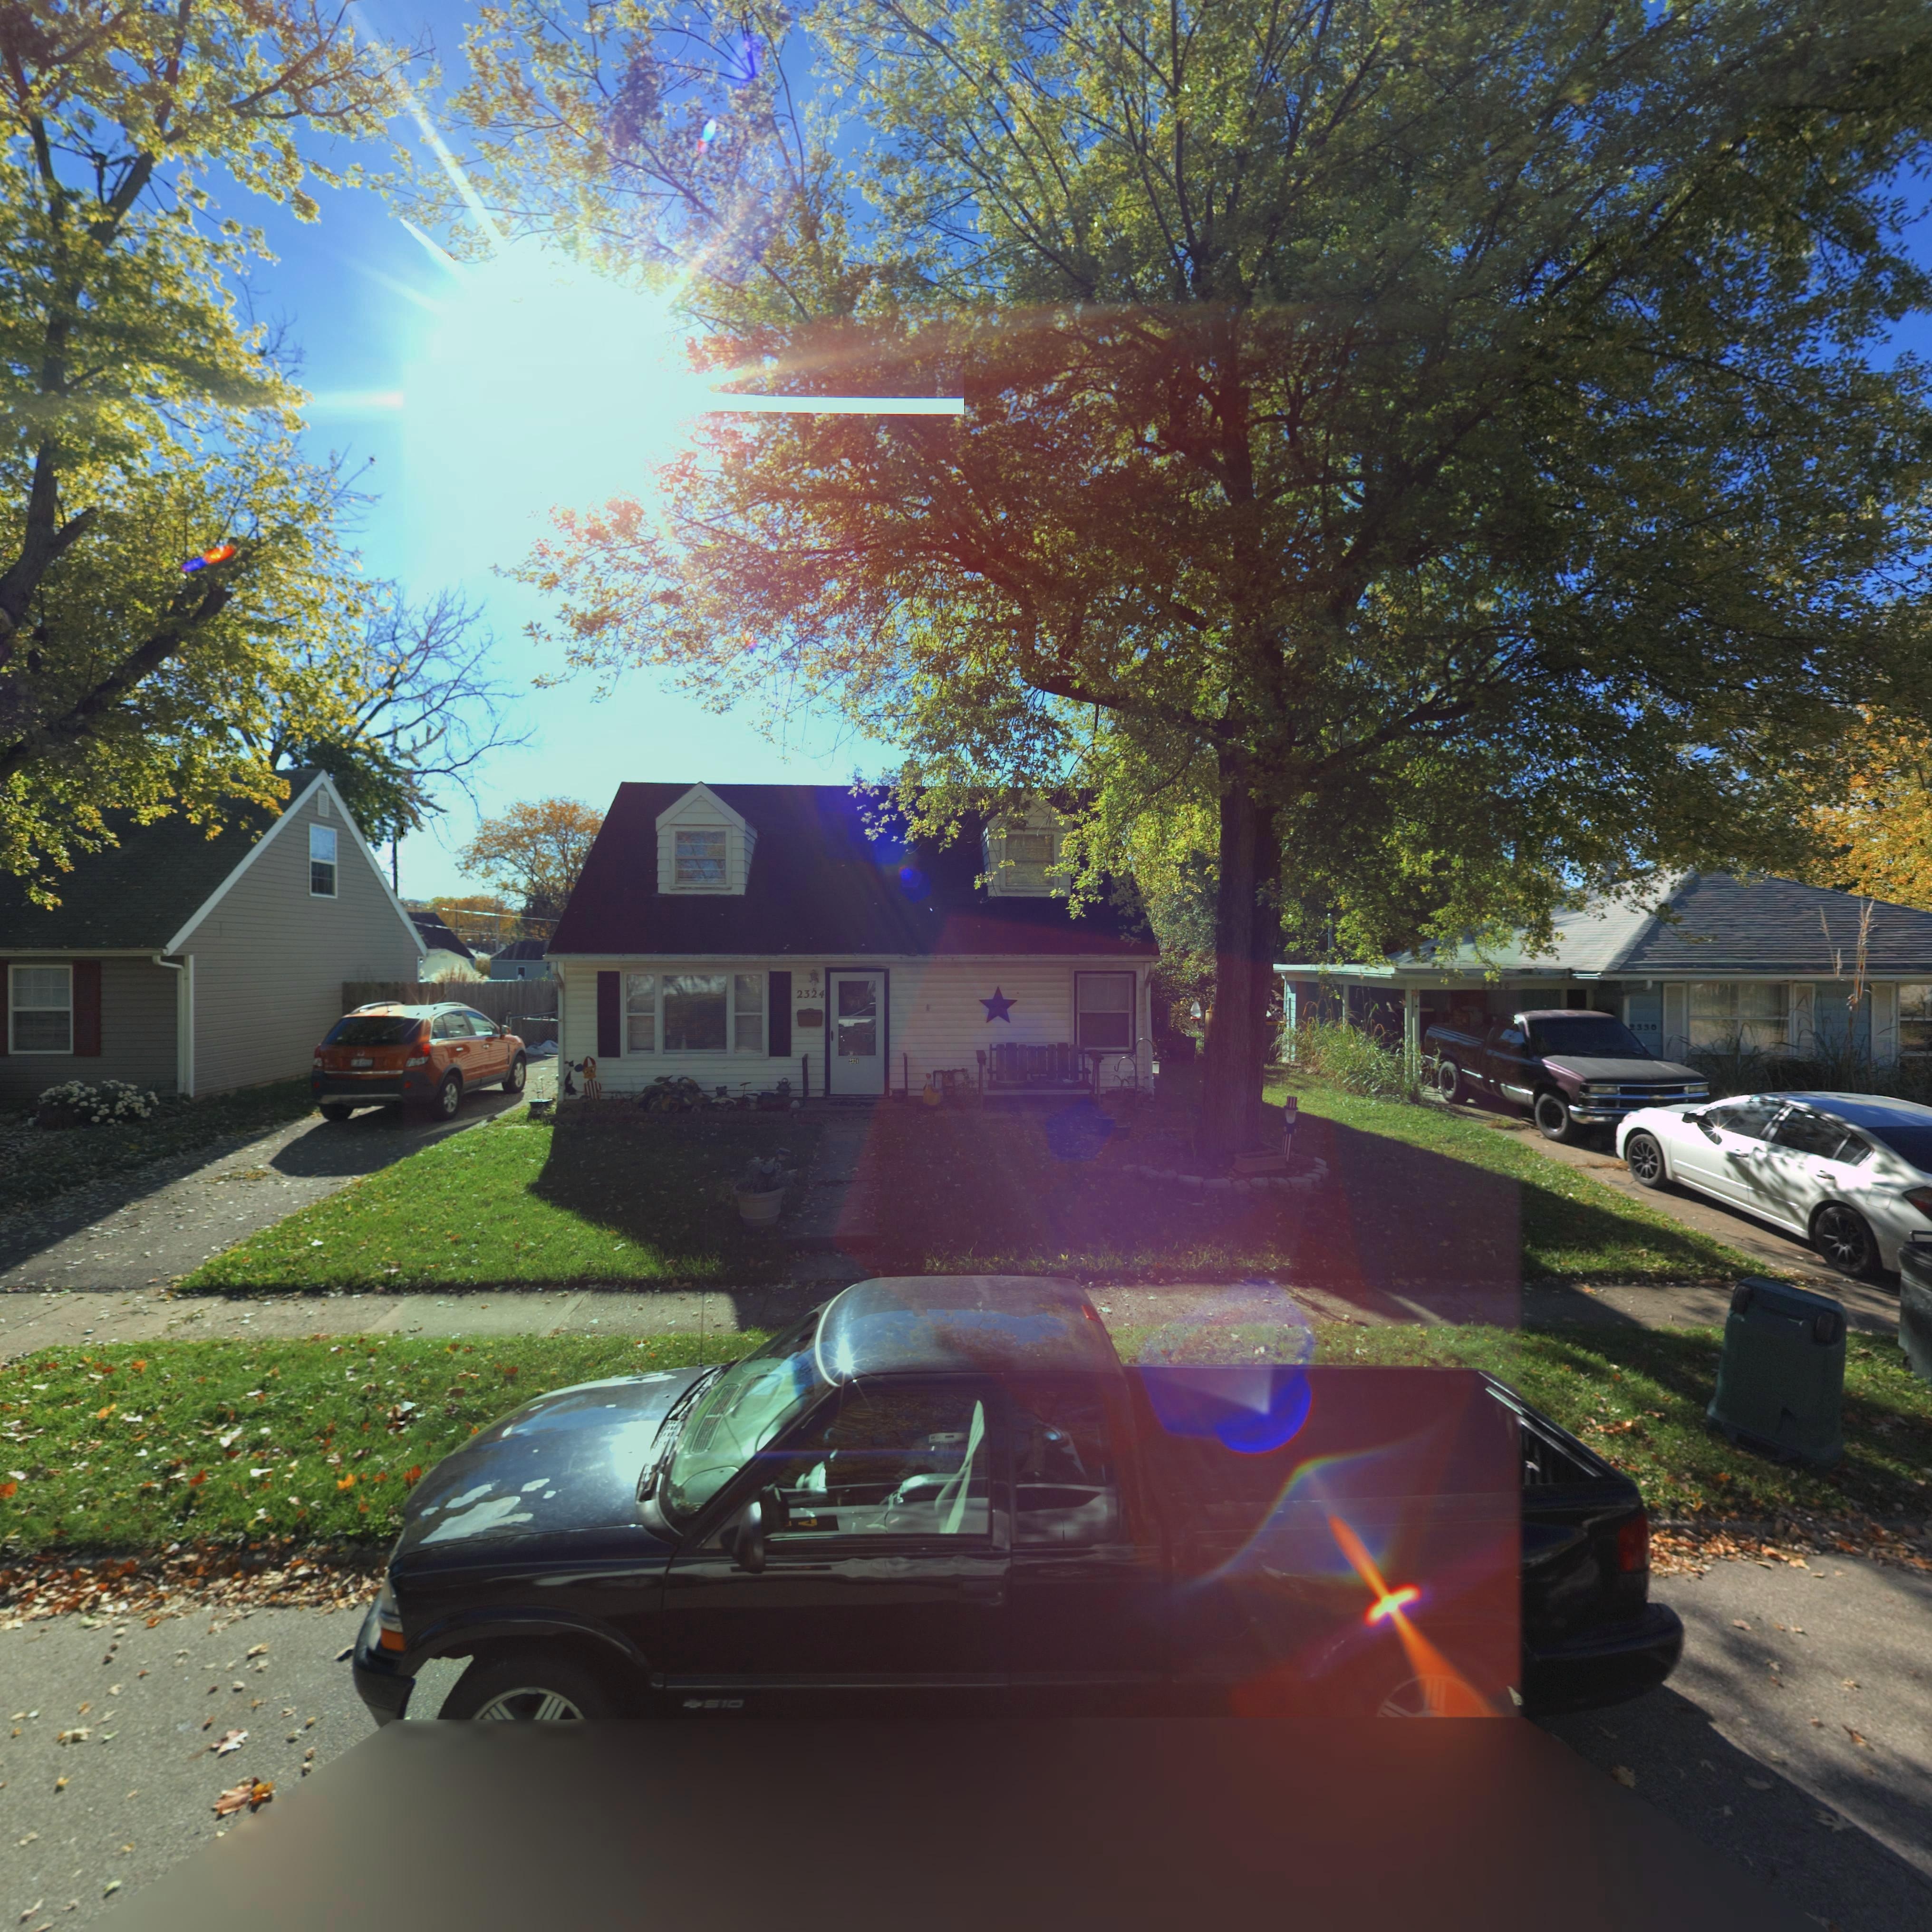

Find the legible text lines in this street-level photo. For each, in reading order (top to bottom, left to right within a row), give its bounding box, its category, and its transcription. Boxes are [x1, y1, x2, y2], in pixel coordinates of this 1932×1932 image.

[1481, 982, 1510, 990] StreetNumber: 2**0
[796, 989, 825, 999] StreetNumber: 2324
[1628, 1023, 1657, 1031] StreetNumber: ***0
[848, 1057, 859, 1064] StreetNumber: **2*